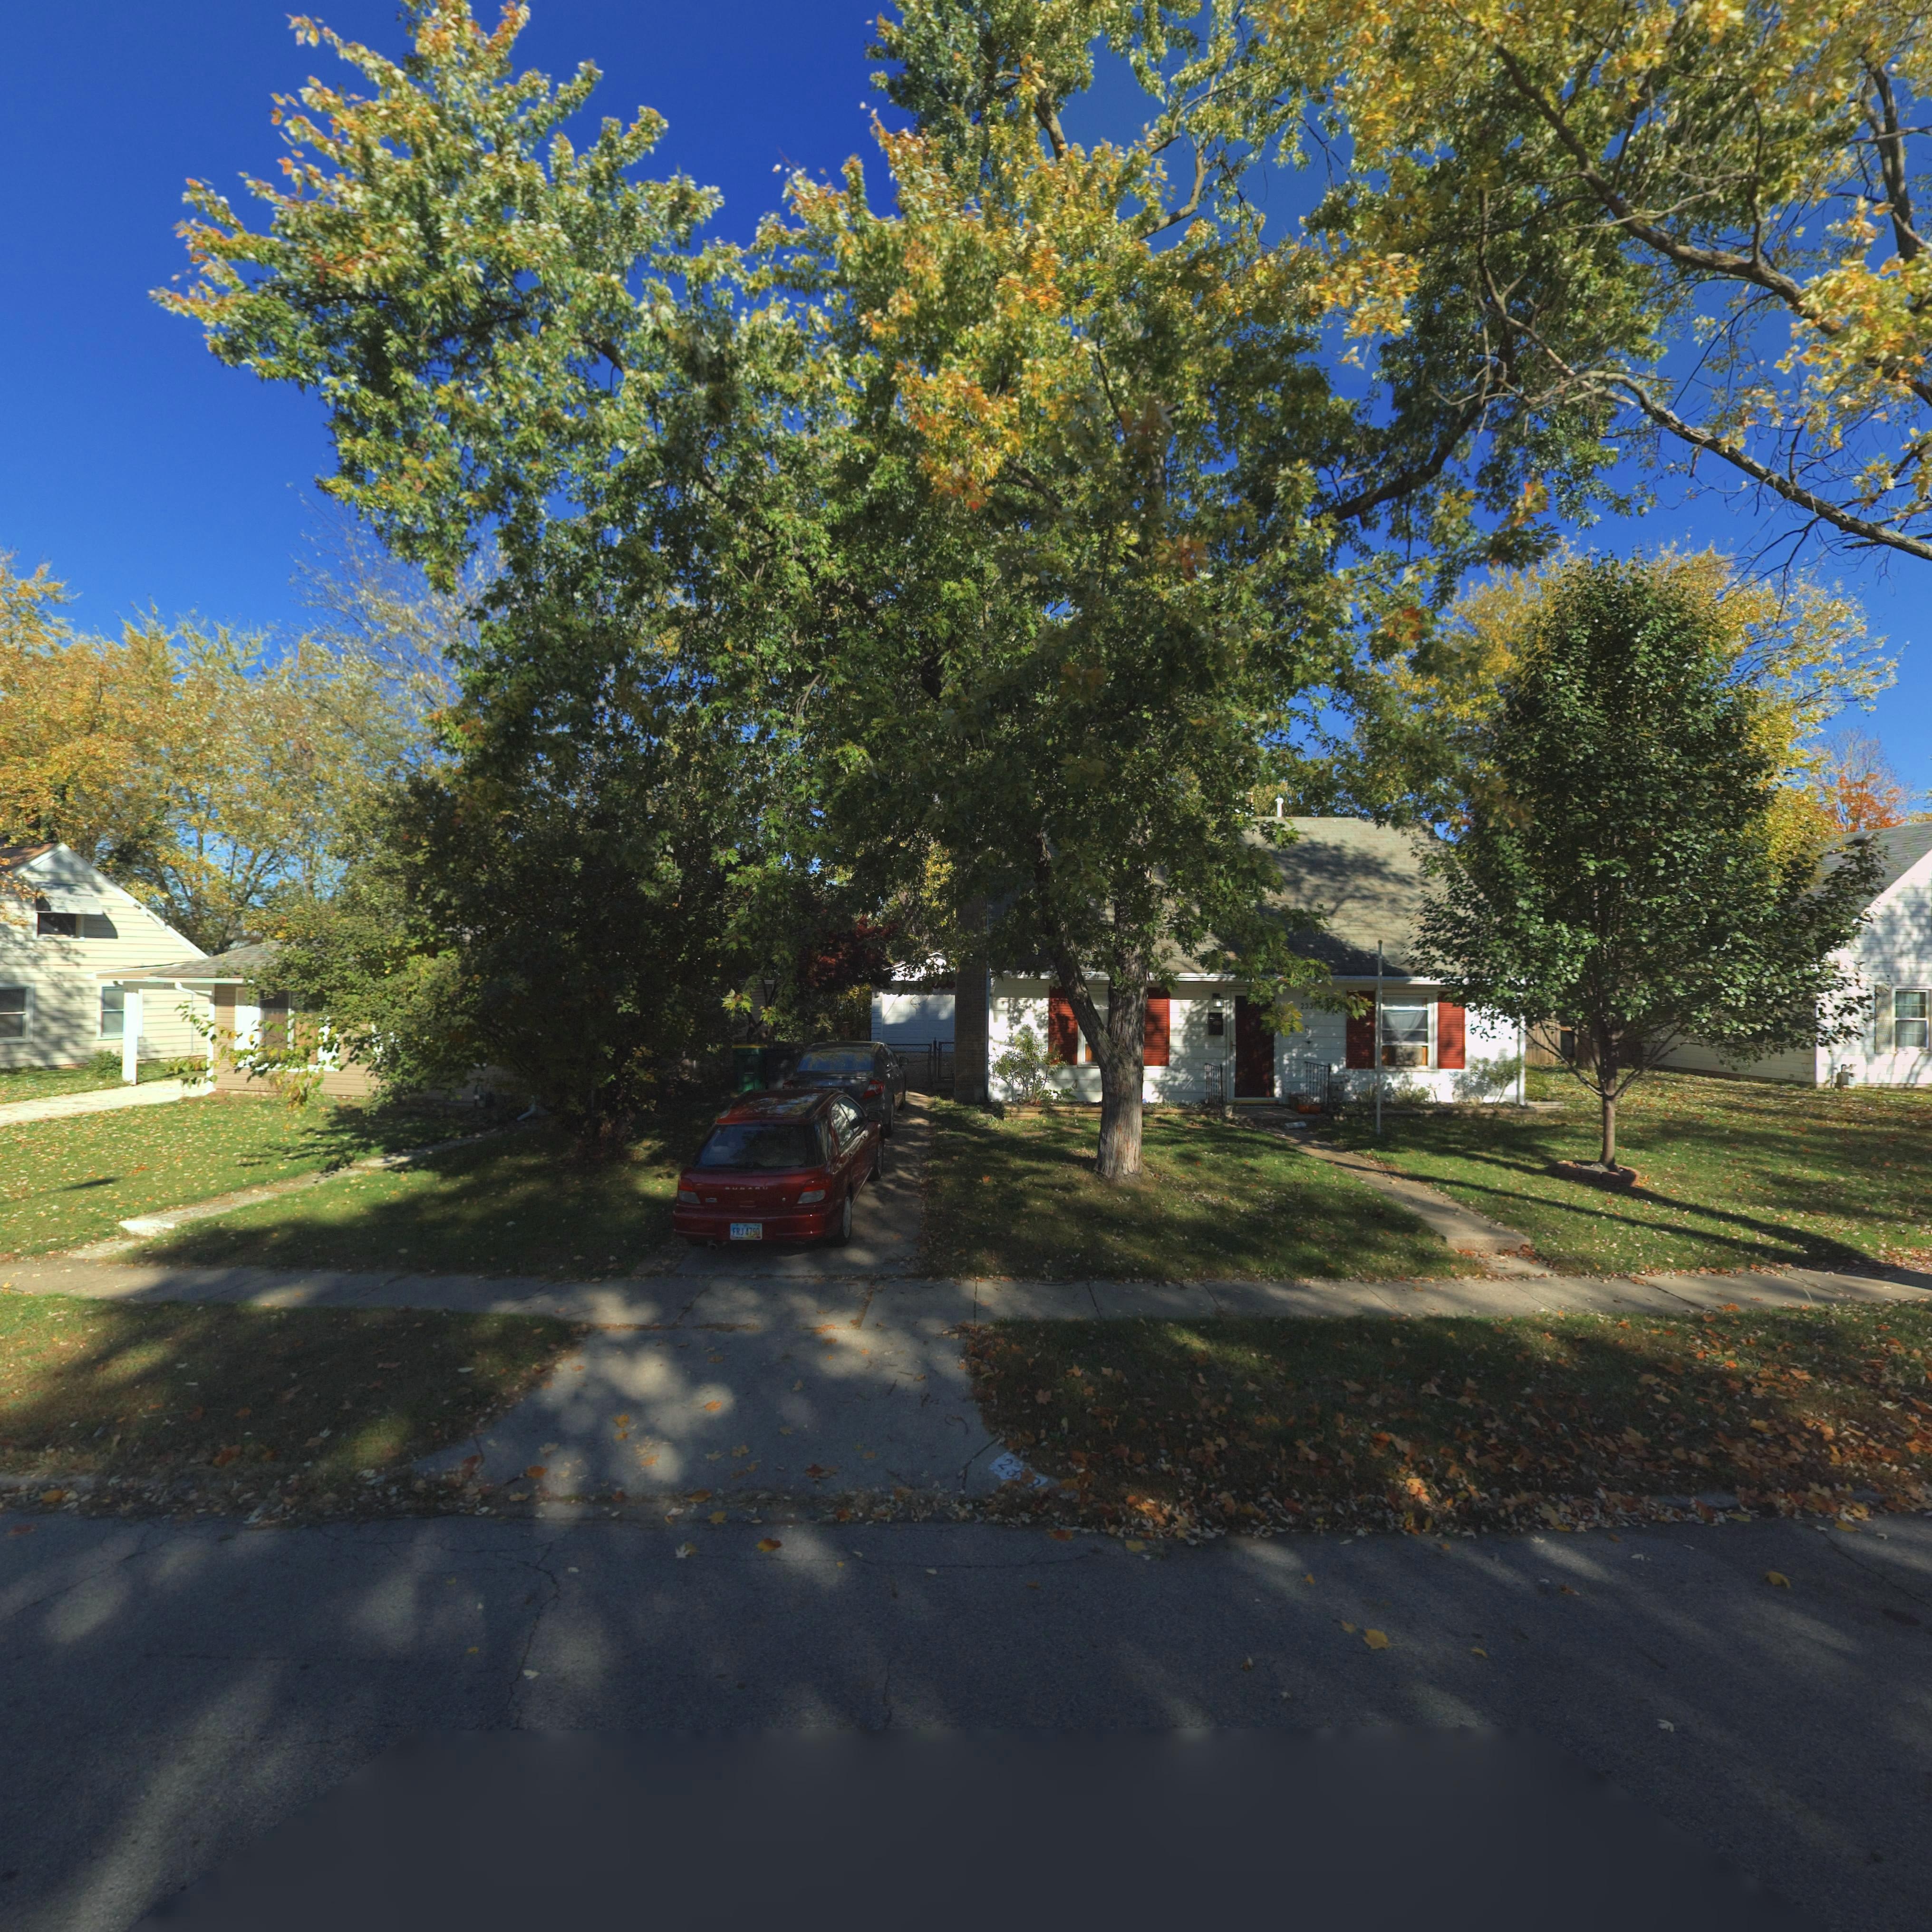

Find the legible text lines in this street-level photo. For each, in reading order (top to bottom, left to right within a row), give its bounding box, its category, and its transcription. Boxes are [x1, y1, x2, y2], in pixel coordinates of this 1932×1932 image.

[1300, 1002, 1314, 1010] StreetNumber: 233
[995, 1454, 1026, 1479] StreetNumber: 2*